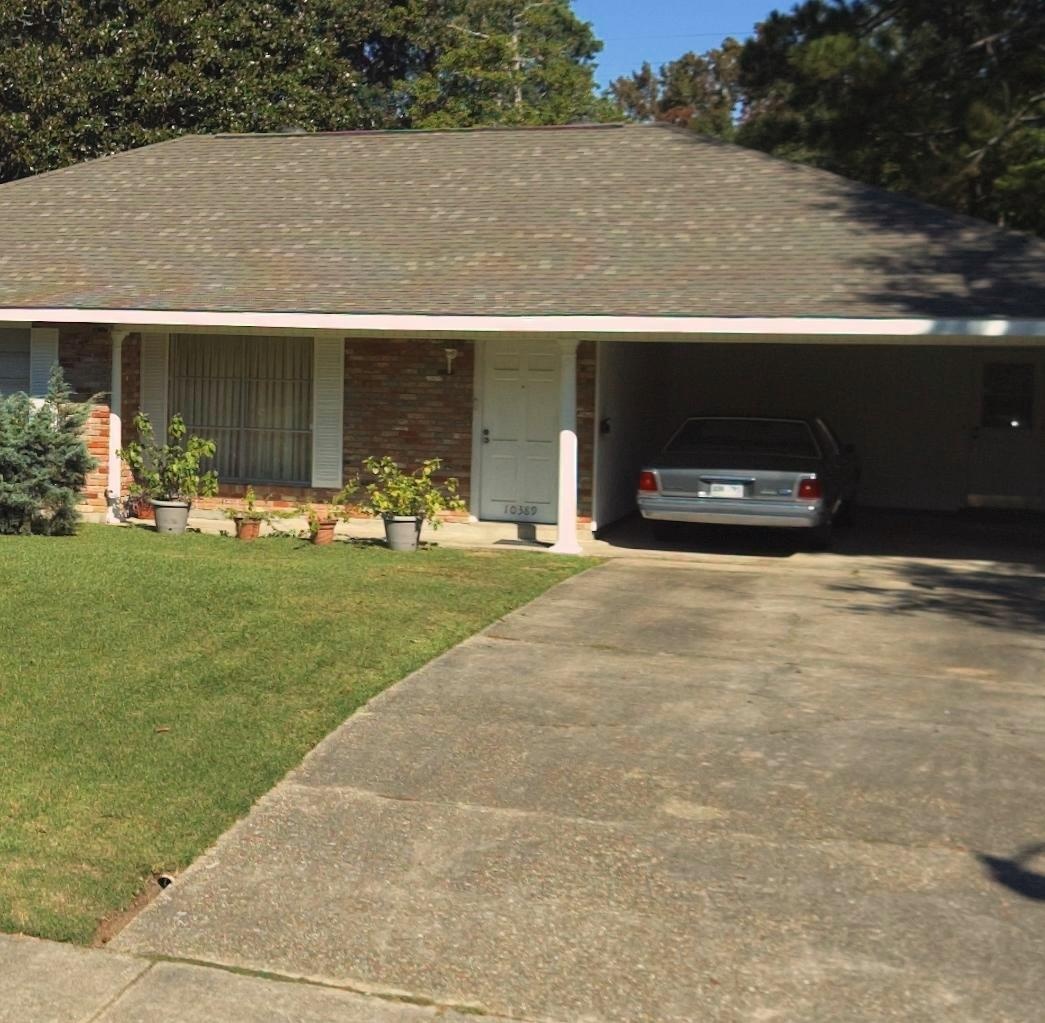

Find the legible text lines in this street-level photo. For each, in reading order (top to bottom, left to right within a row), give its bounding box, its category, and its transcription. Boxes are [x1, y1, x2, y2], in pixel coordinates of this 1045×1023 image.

[502, 503, 539, 517] StreetNumber: 10389